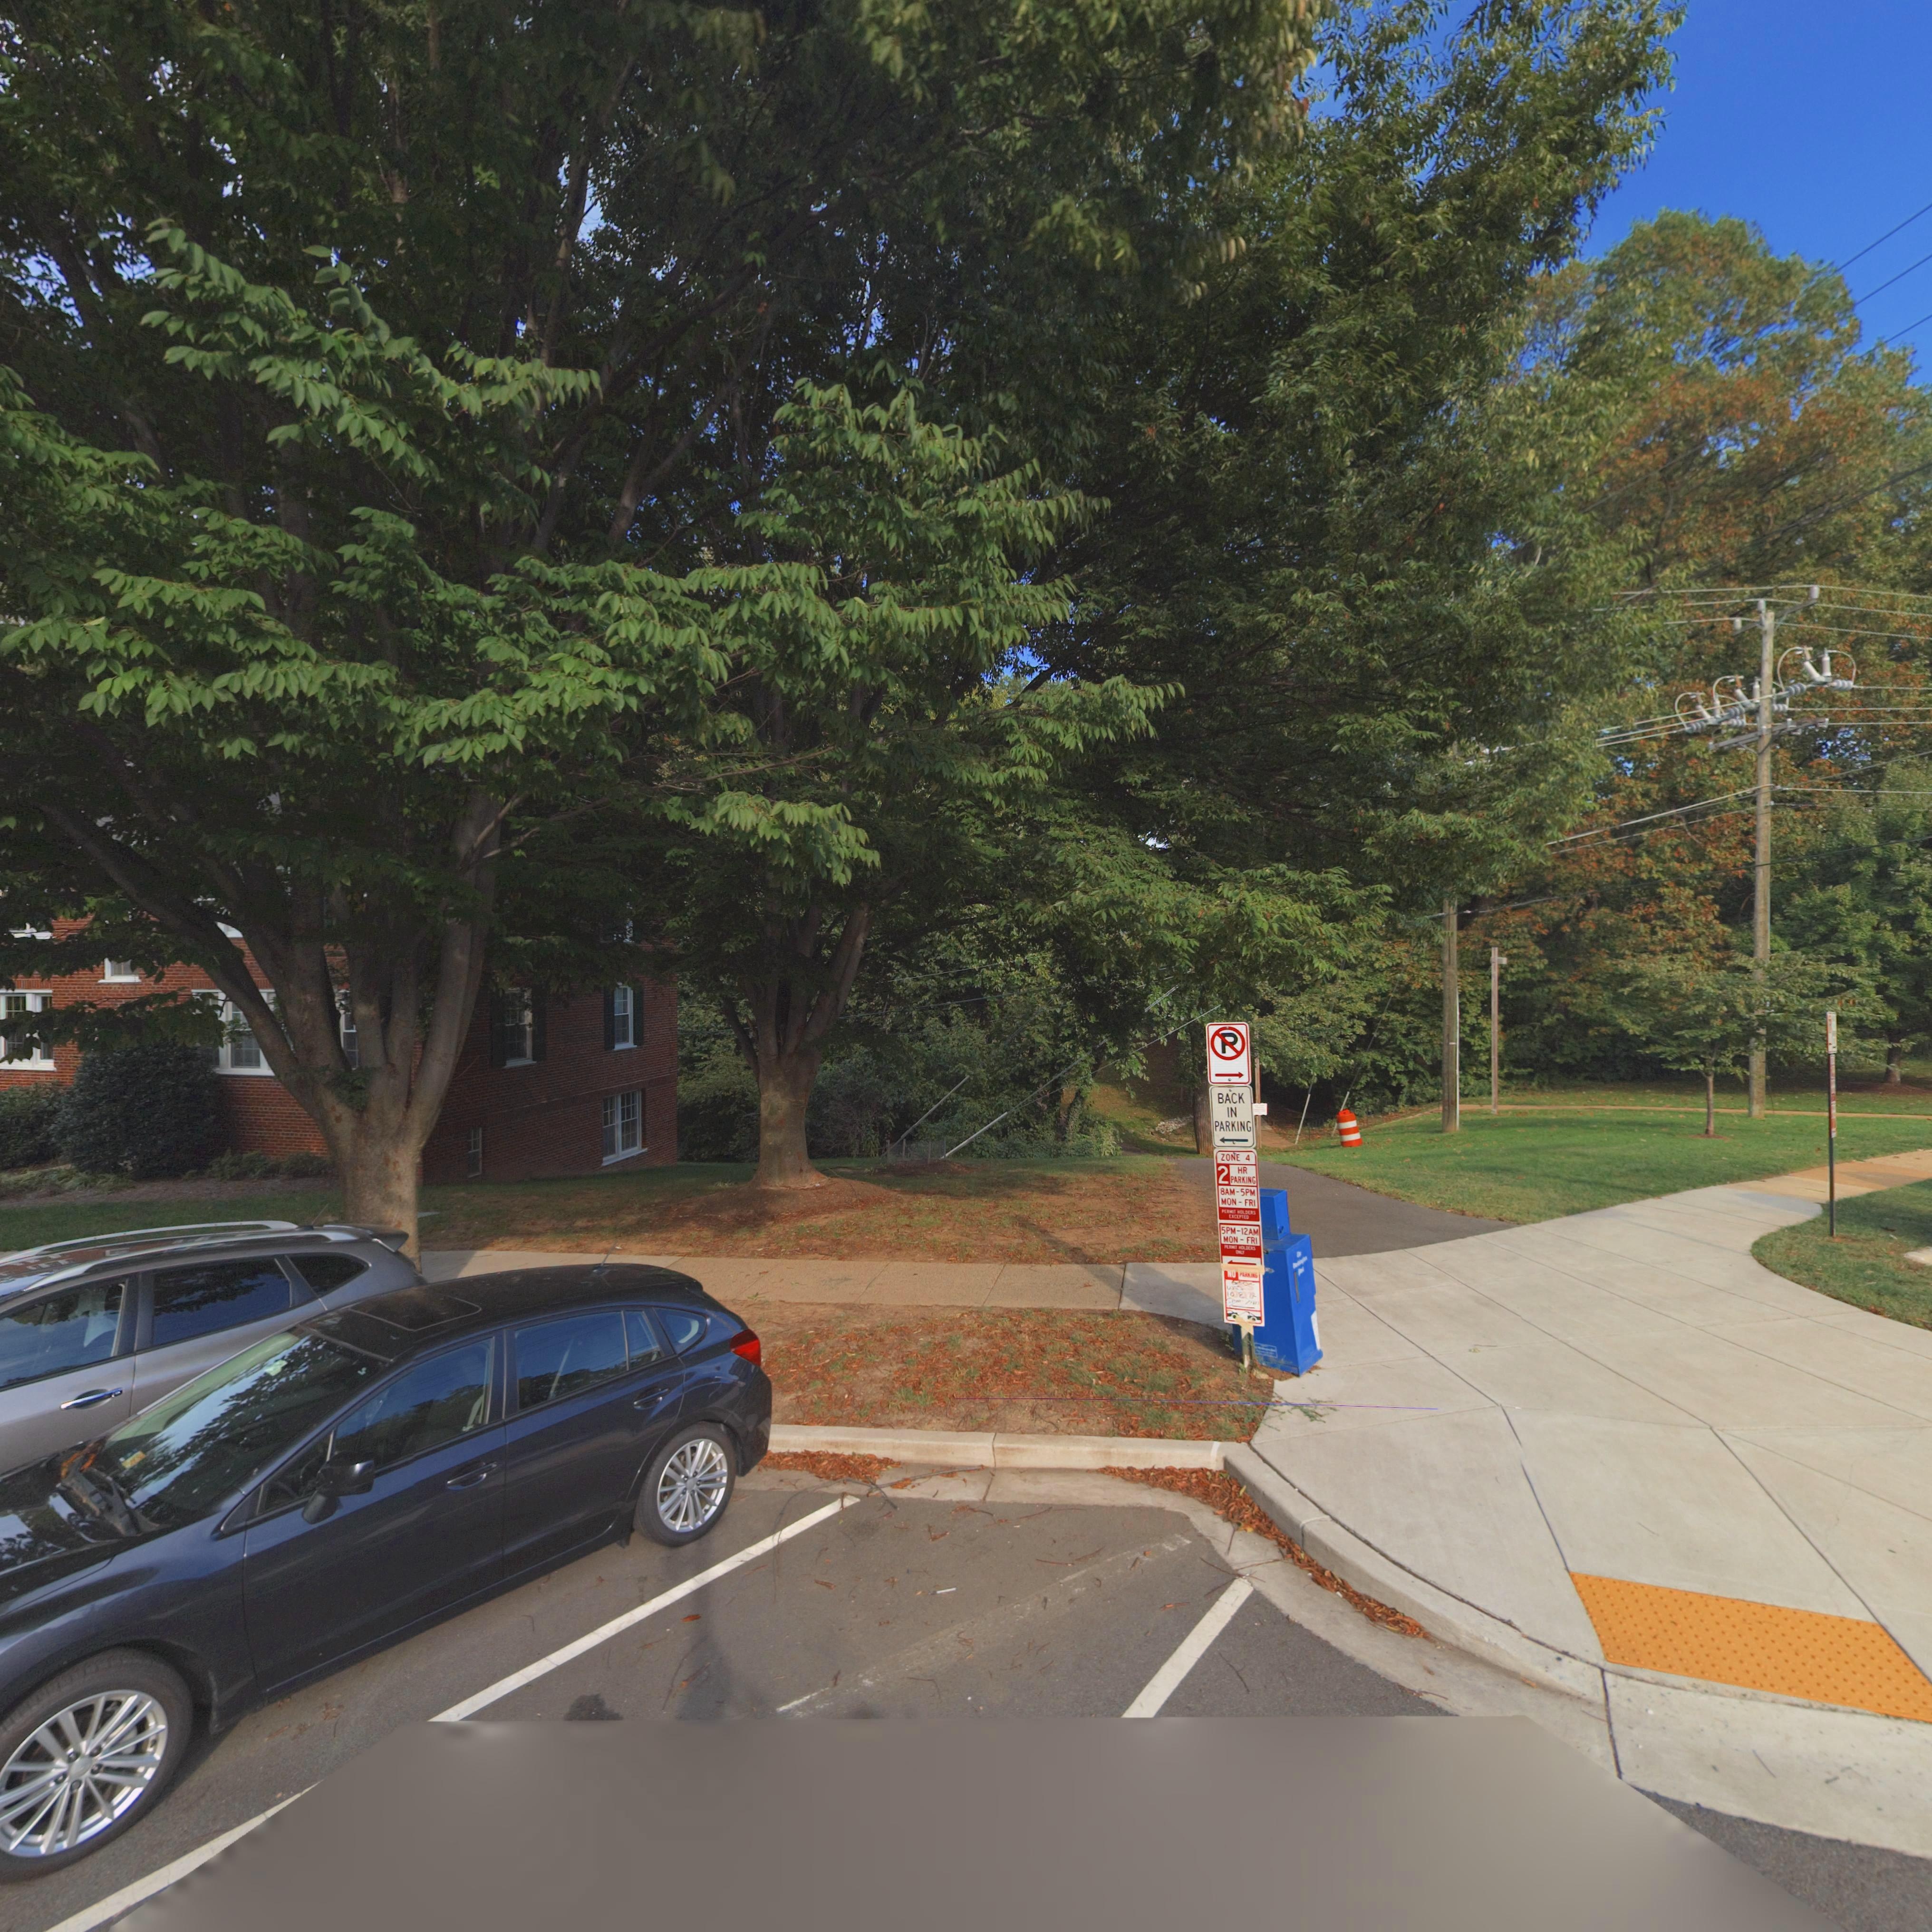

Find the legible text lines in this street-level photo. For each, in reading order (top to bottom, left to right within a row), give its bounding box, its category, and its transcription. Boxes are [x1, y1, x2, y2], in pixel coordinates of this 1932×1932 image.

[1216, 1091, 1247, 1106] None: BACK
[1226, 1104, 1238, 1120] None: IN
[1213, 1119, 1253, 1135] None: PARKING
[1219, 1153, 1251, 1163] None: ZONE 4
[1216, 1164, 1230, 1185] None: 2
[1236, 1166, 1249, 1175] None: HR
[1229, 1175, 1257, 1186] None: PARKING
[1219, 1187, 1256, 1198] None: 8AM-5PM
[1219, 1197, 1257, 1208] None: MON - FRI
[1220, 1225, 1260, 1237] None: 5PM-12AM
[1222, 1234, 1258, 1246] None: MON-FRI